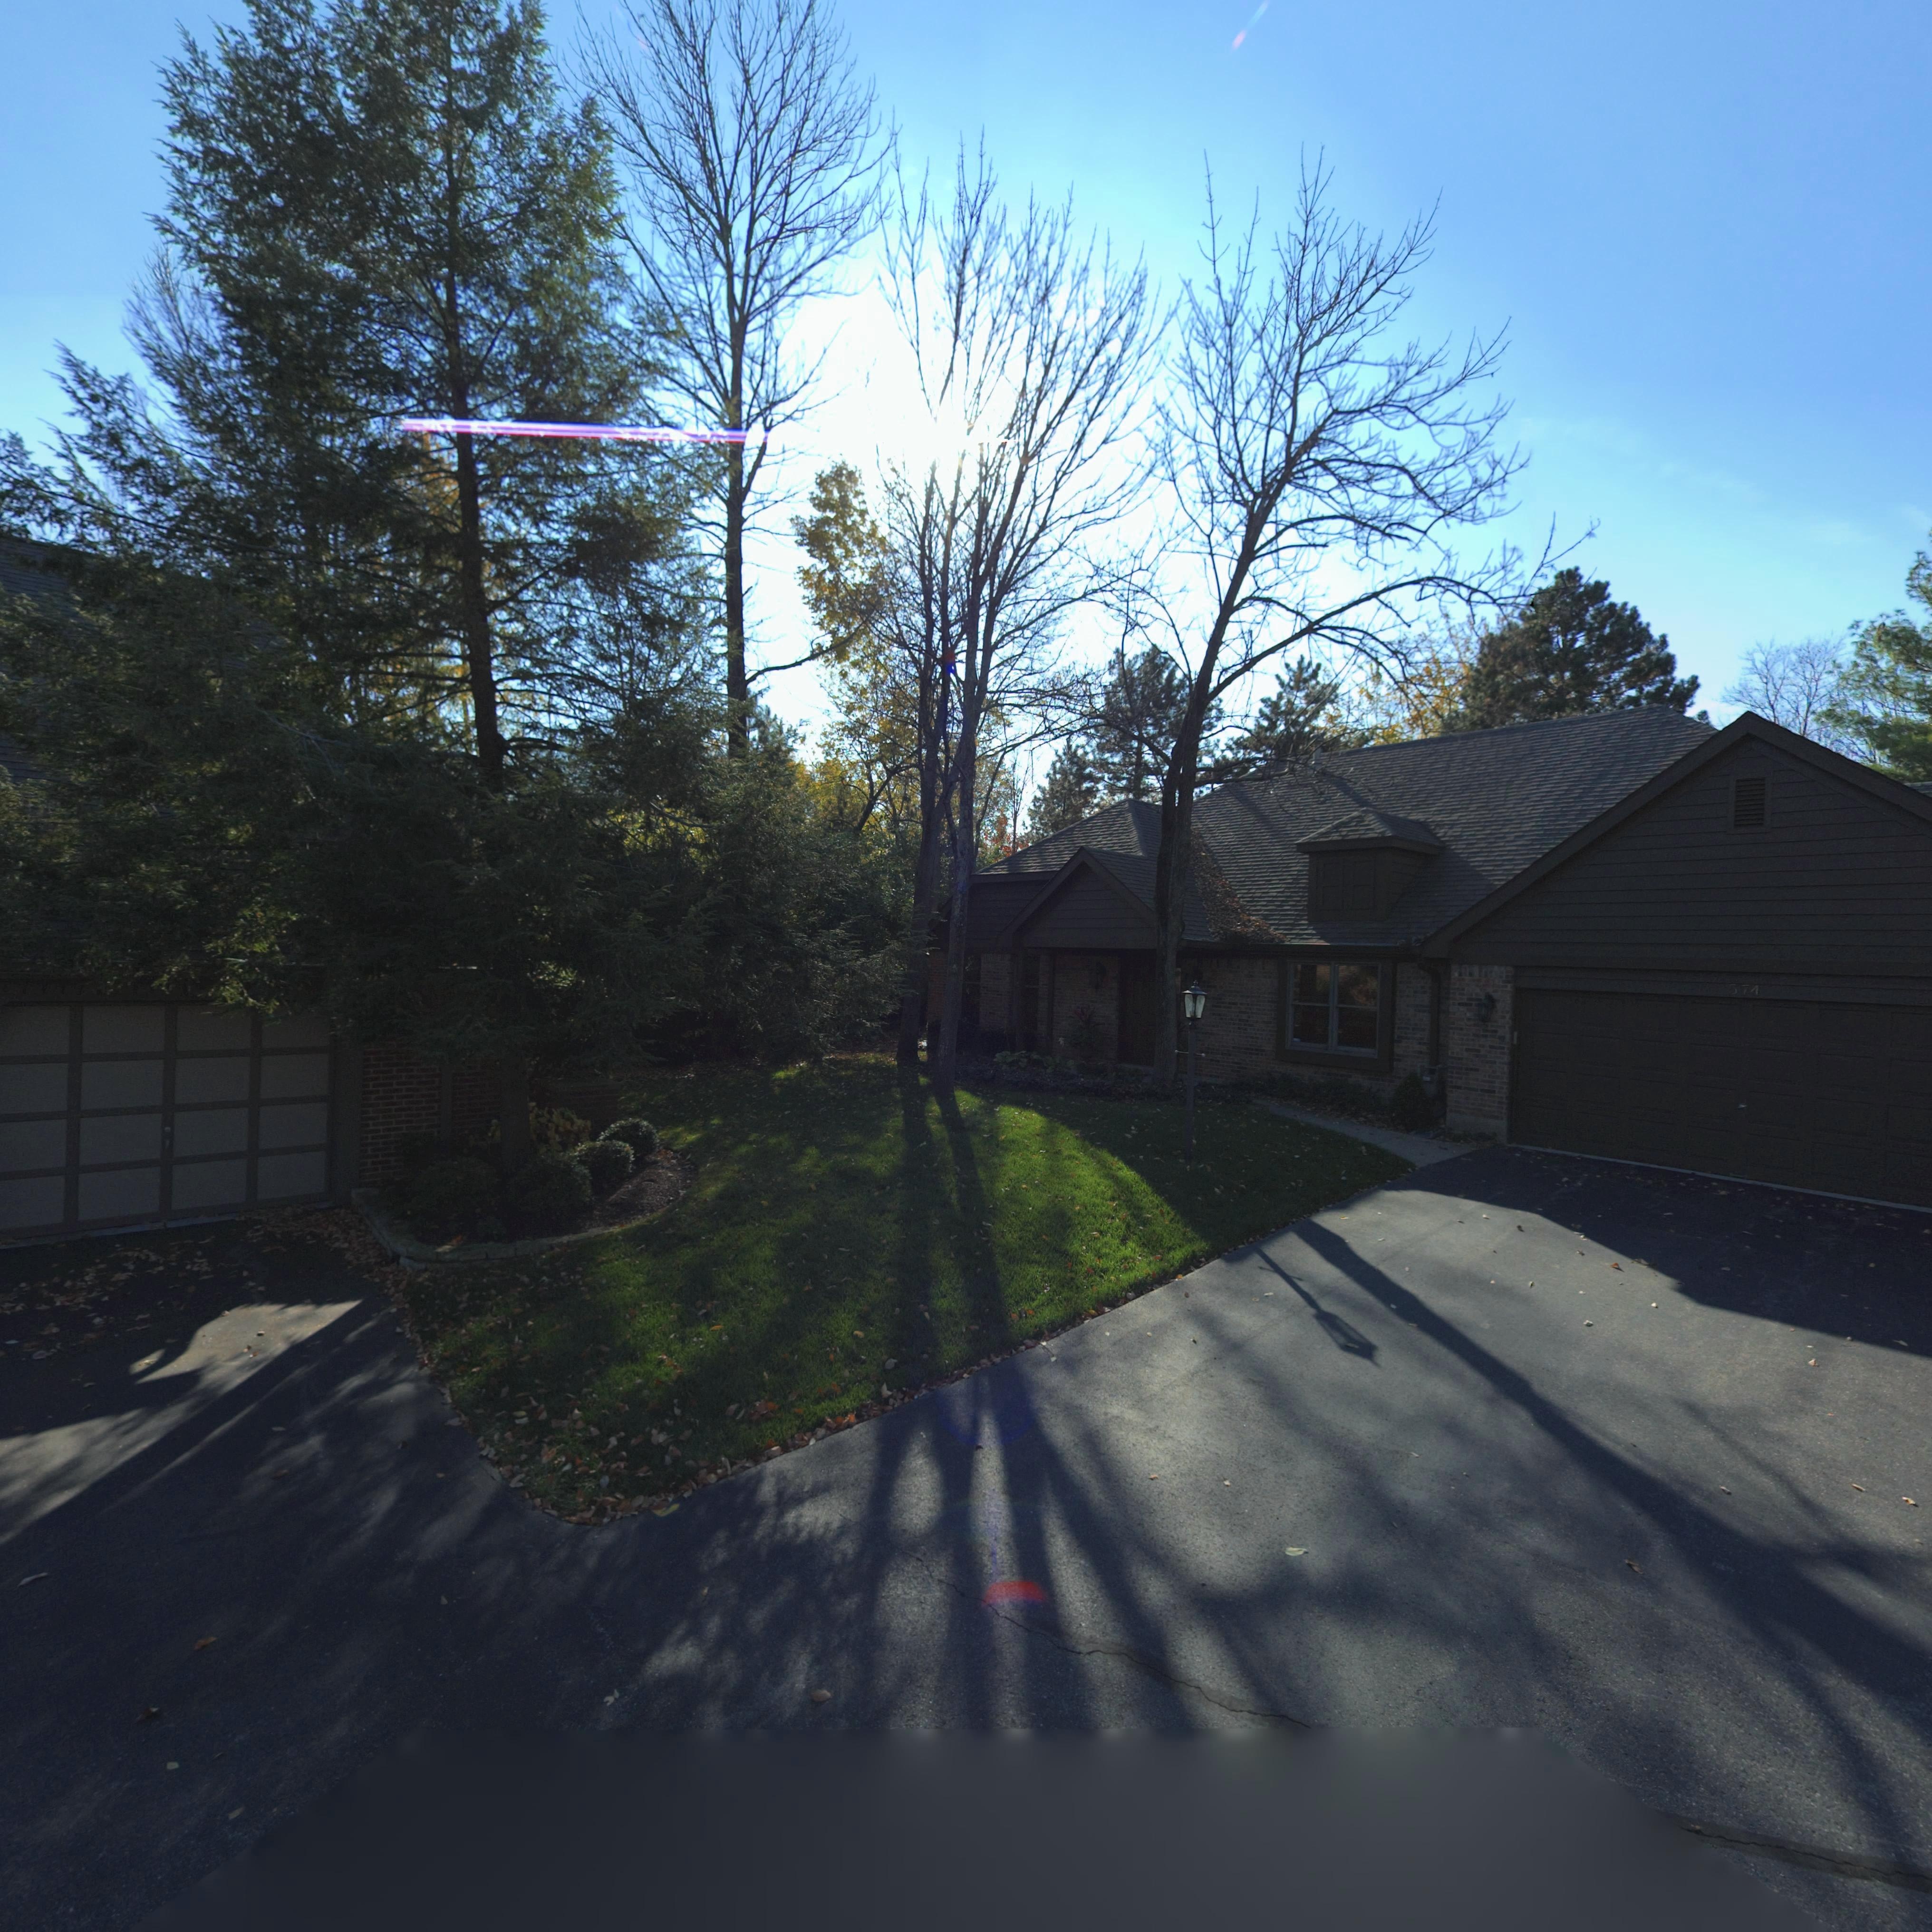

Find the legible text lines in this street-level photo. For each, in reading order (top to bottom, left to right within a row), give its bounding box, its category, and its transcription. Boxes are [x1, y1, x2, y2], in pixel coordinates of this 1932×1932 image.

[1728, 982, 1760, 997] StreetNumber: 574